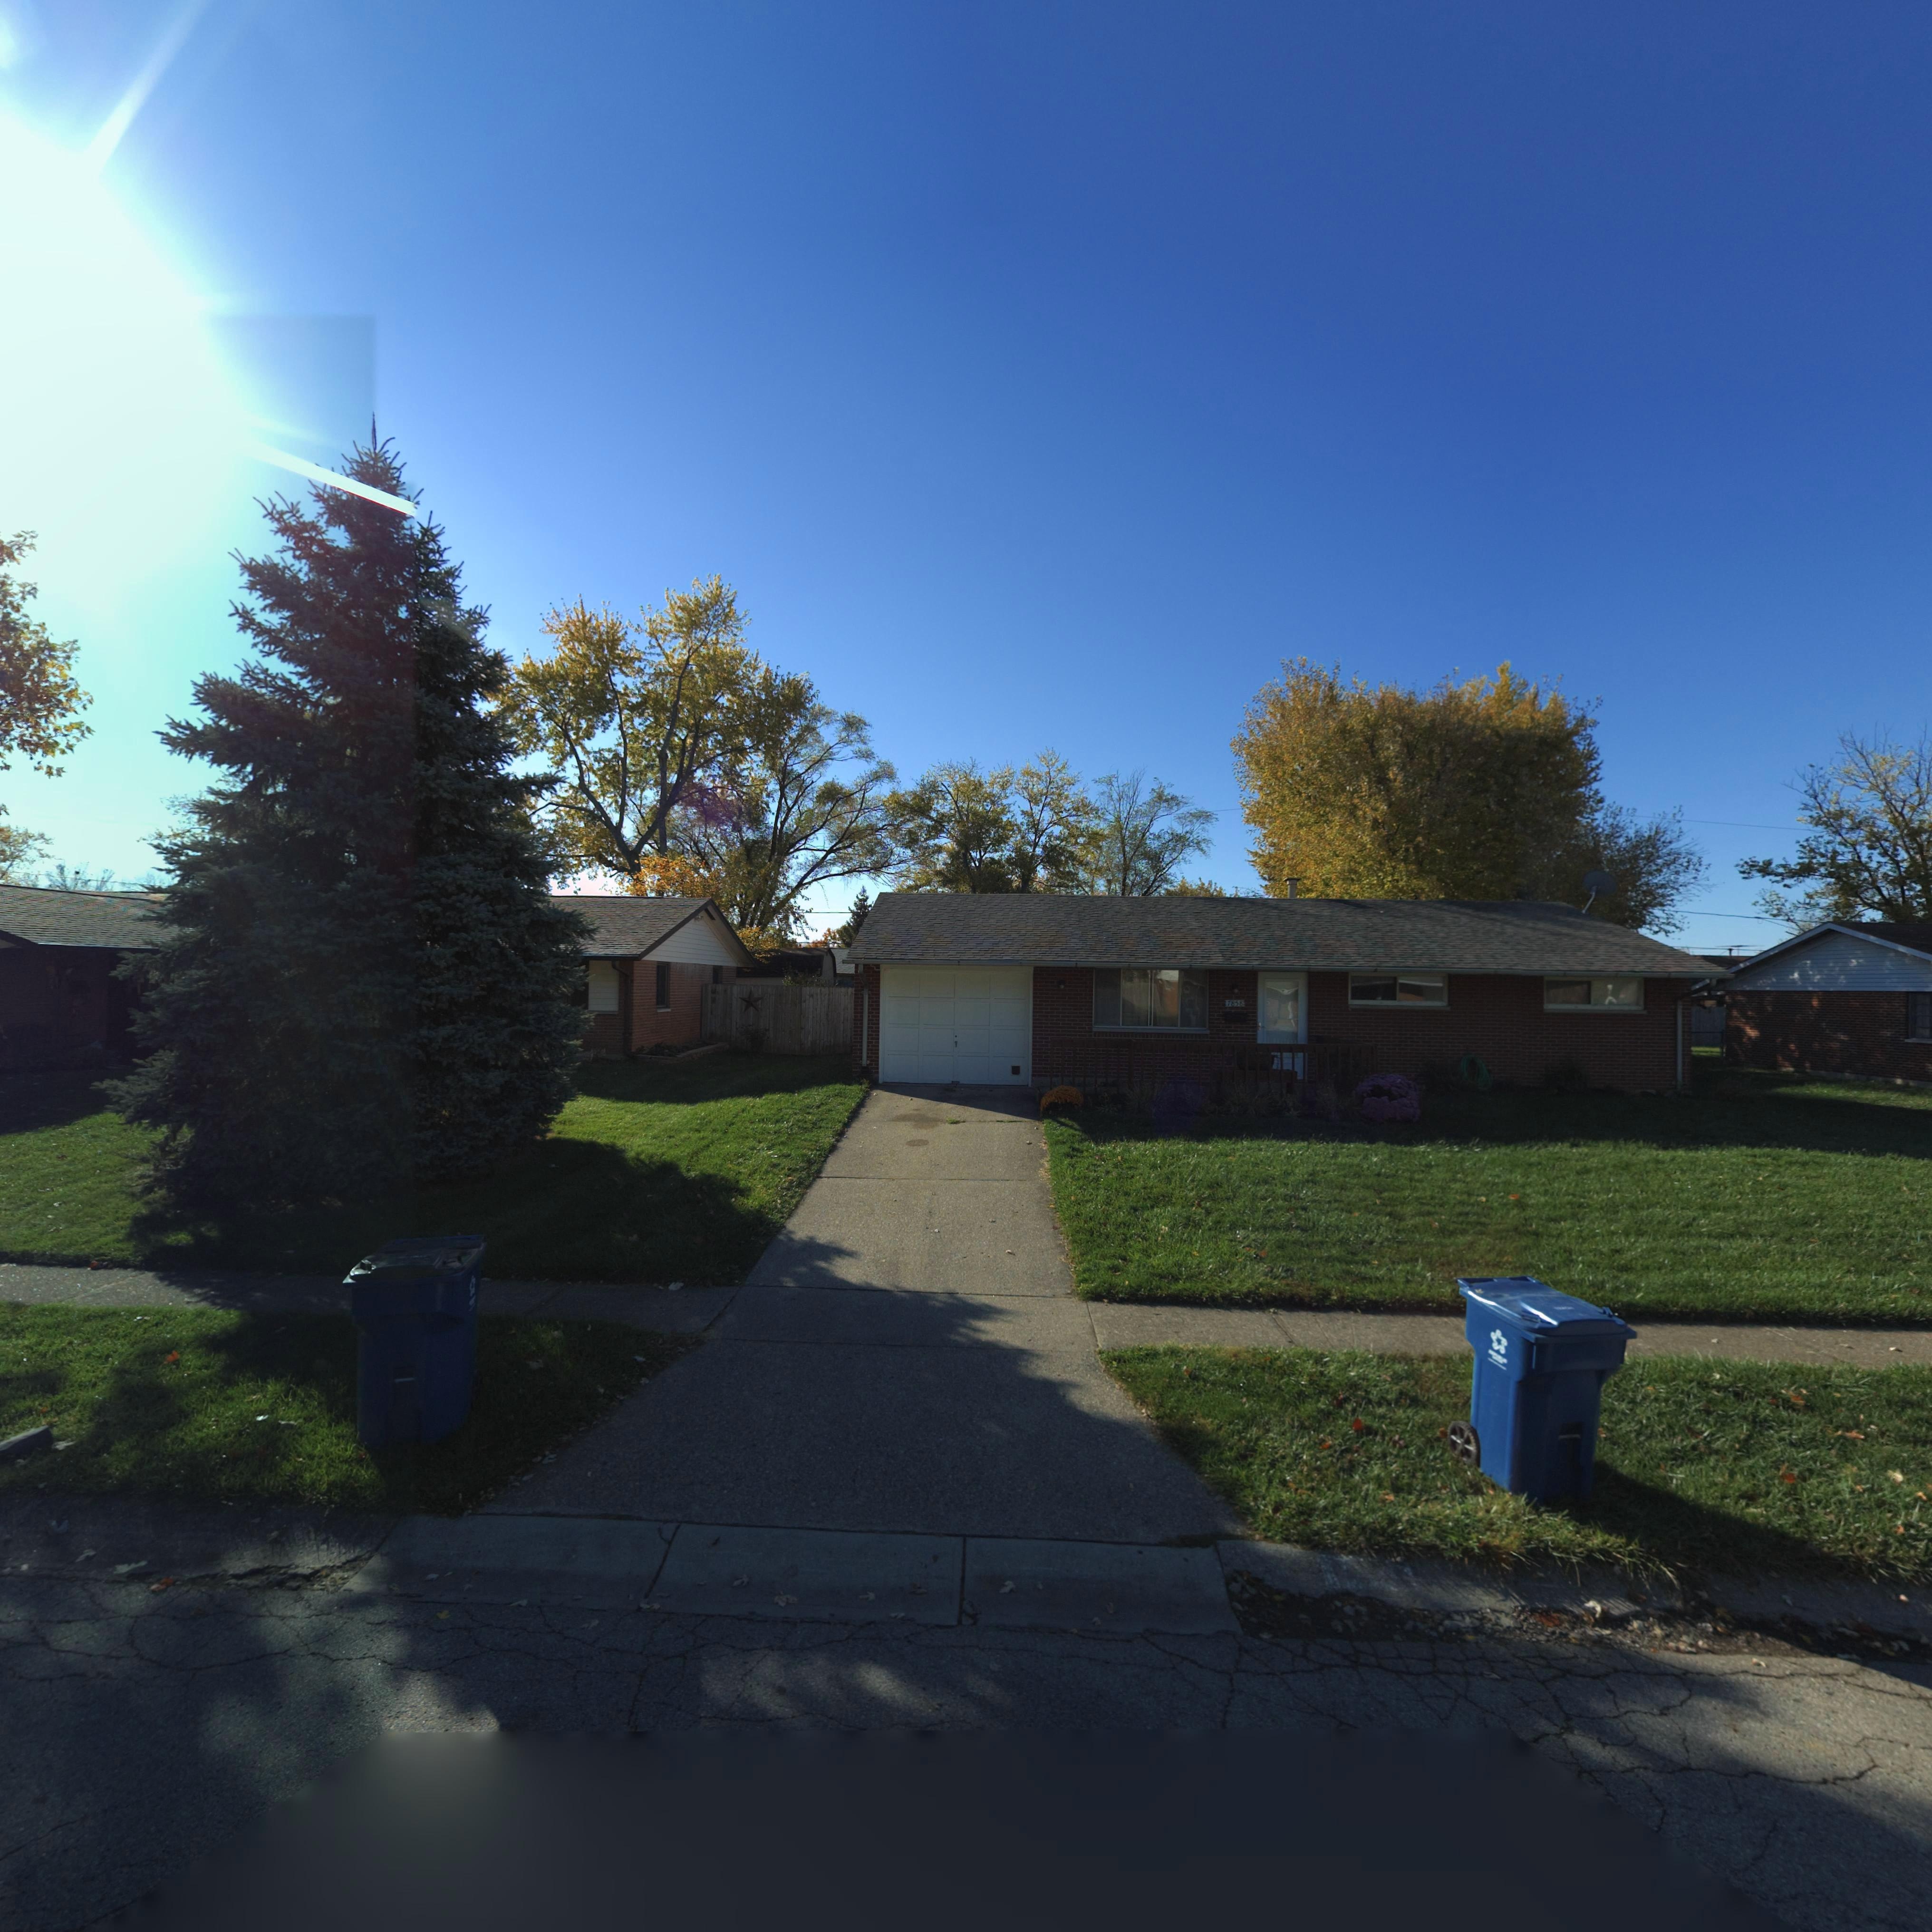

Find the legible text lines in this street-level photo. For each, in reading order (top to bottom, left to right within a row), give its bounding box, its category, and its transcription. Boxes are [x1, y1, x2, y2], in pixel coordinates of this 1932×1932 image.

[1227, 1000, 1244, 1007] StreetNumber: 7858